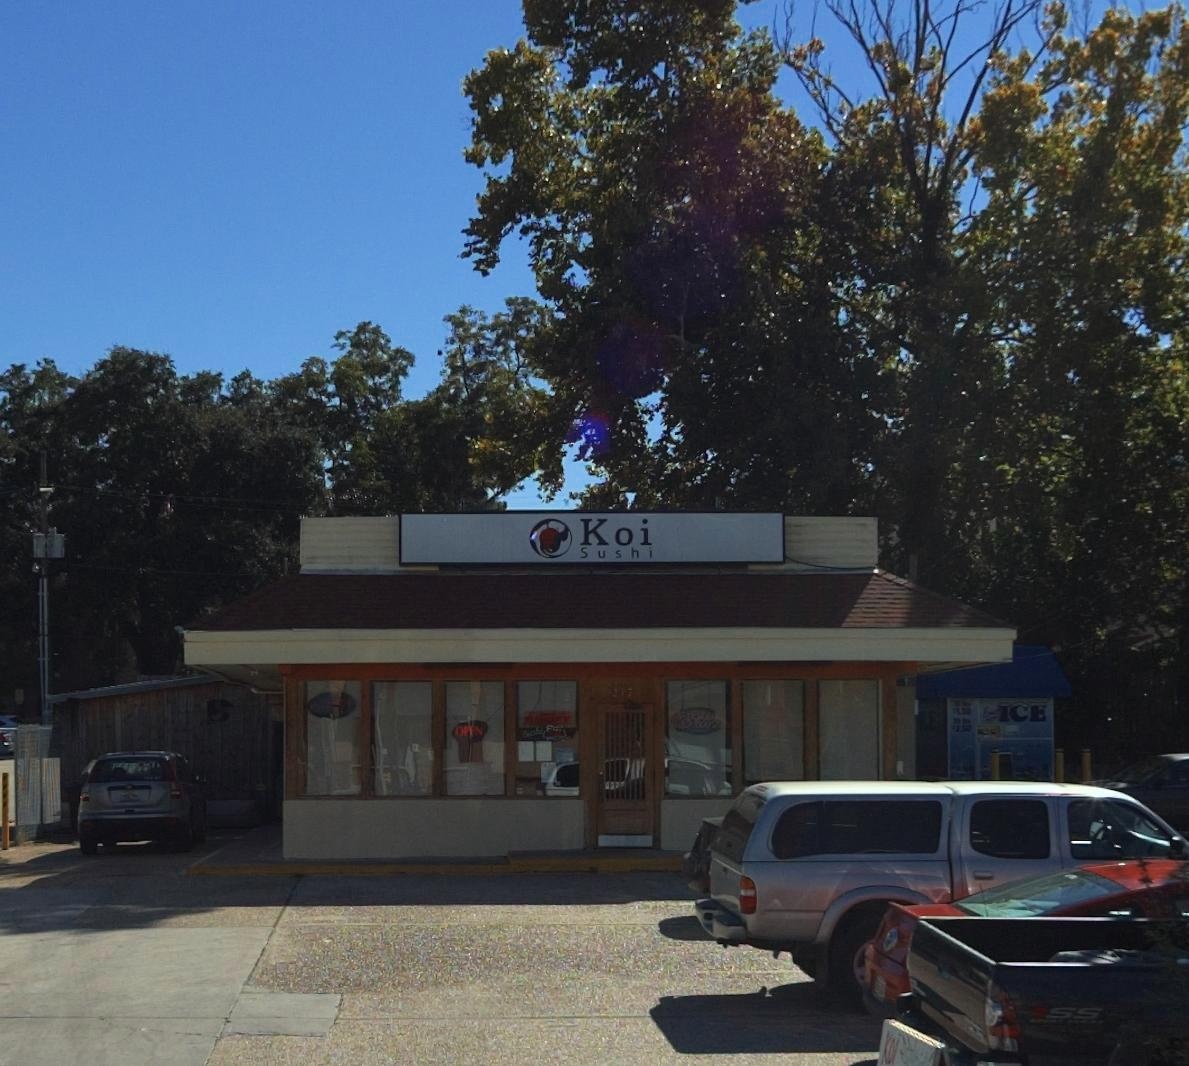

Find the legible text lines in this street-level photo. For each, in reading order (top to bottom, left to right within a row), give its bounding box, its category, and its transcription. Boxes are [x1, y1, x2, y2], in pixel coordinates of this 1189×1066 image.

[578, 517, 653, 547] BusinessName: Koi
[579, 546, 654, 560] BusinessName: Sushi
[610, 687, 634, 699] StreetNumber: 217
[997, 701, 1048, 723] None: ICE
[454, 724, 484, 737] None: OP*N
[1043, 1006, 1106, 1020] None: SS
[879, 1031, 902, 1066] None: KOI